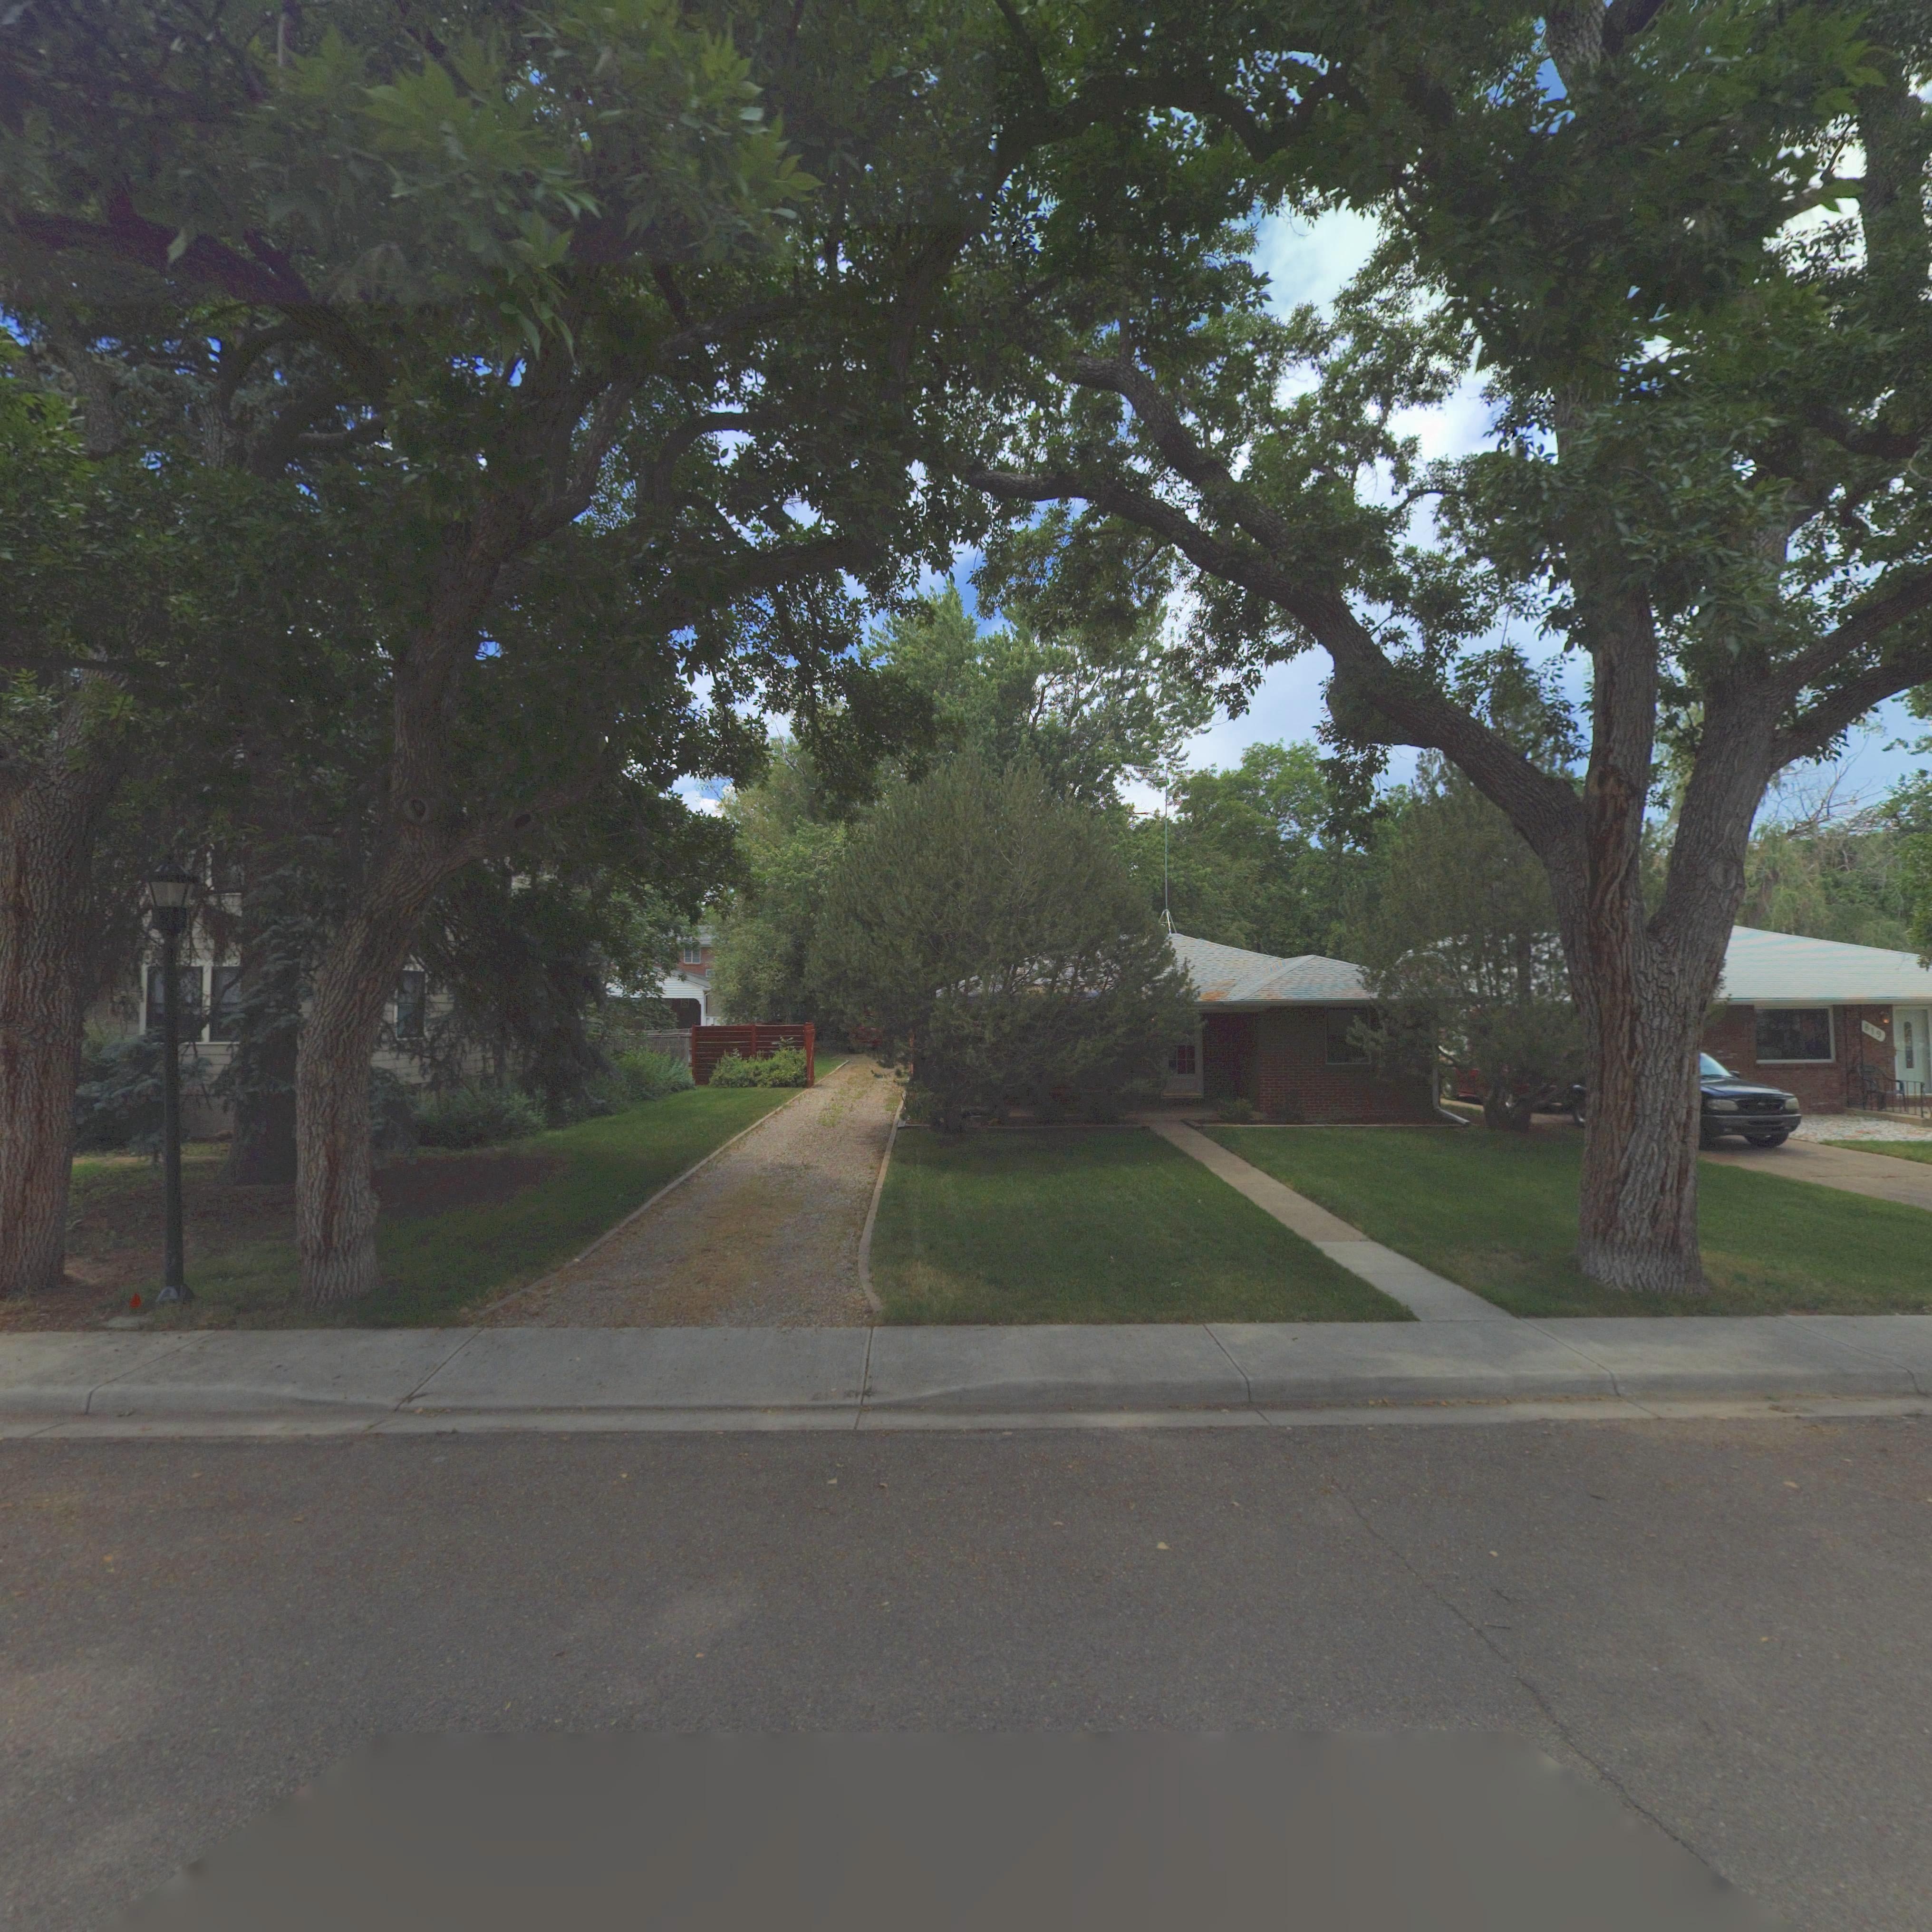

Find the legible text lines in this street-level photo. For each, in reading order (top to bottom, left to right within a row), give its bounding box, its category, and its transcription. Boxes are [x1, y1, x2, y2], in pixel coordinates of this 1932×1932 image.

[1864, 1023, 1882, 1040] StreetNumber: 819